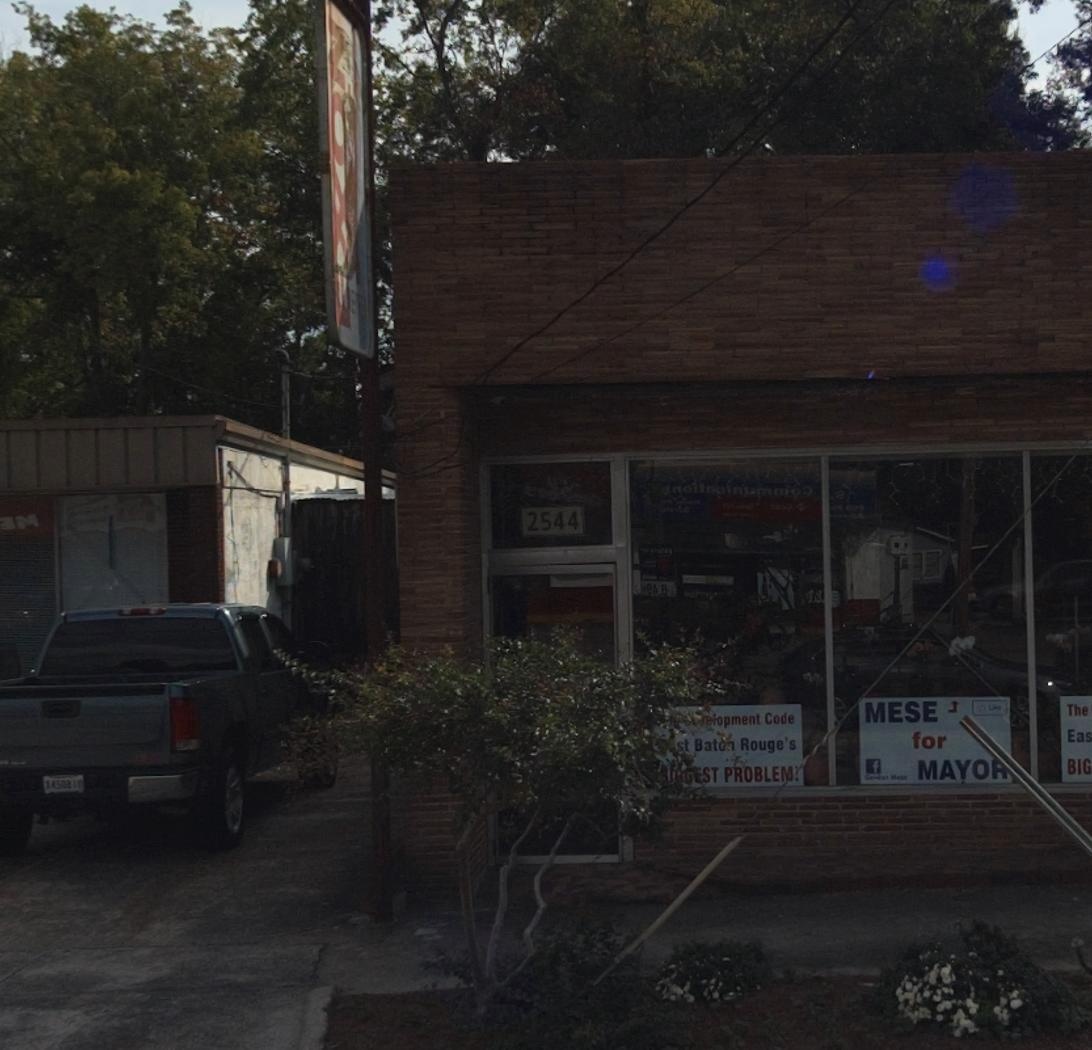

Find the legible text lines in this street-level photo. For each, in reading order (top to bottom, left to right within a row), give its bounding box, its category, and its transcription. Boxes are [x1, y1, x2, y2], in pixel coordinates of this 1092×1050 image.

[323, 13, 355, 277] BusinessName: ZO**
[525, 507, 582, 533] StreetNumber: 2544
[683, 709, 799, 729] None: ****lopment Code
[859, 696, 943, 726] None: MESE
[1064, 700, 1089, 717] None: The
[693, 734, 799, 755] None: Baton Rouge's
[910, 728, 947, 752] None: for
[1066, 723, 1092, 746] None: Eas
[655, 761, 800, 784] None: *I*G*ST PROBLEM?
[915, 755, 1010, 783] None: MAYO*
[1066, 755, 1092, 776] None: BIG